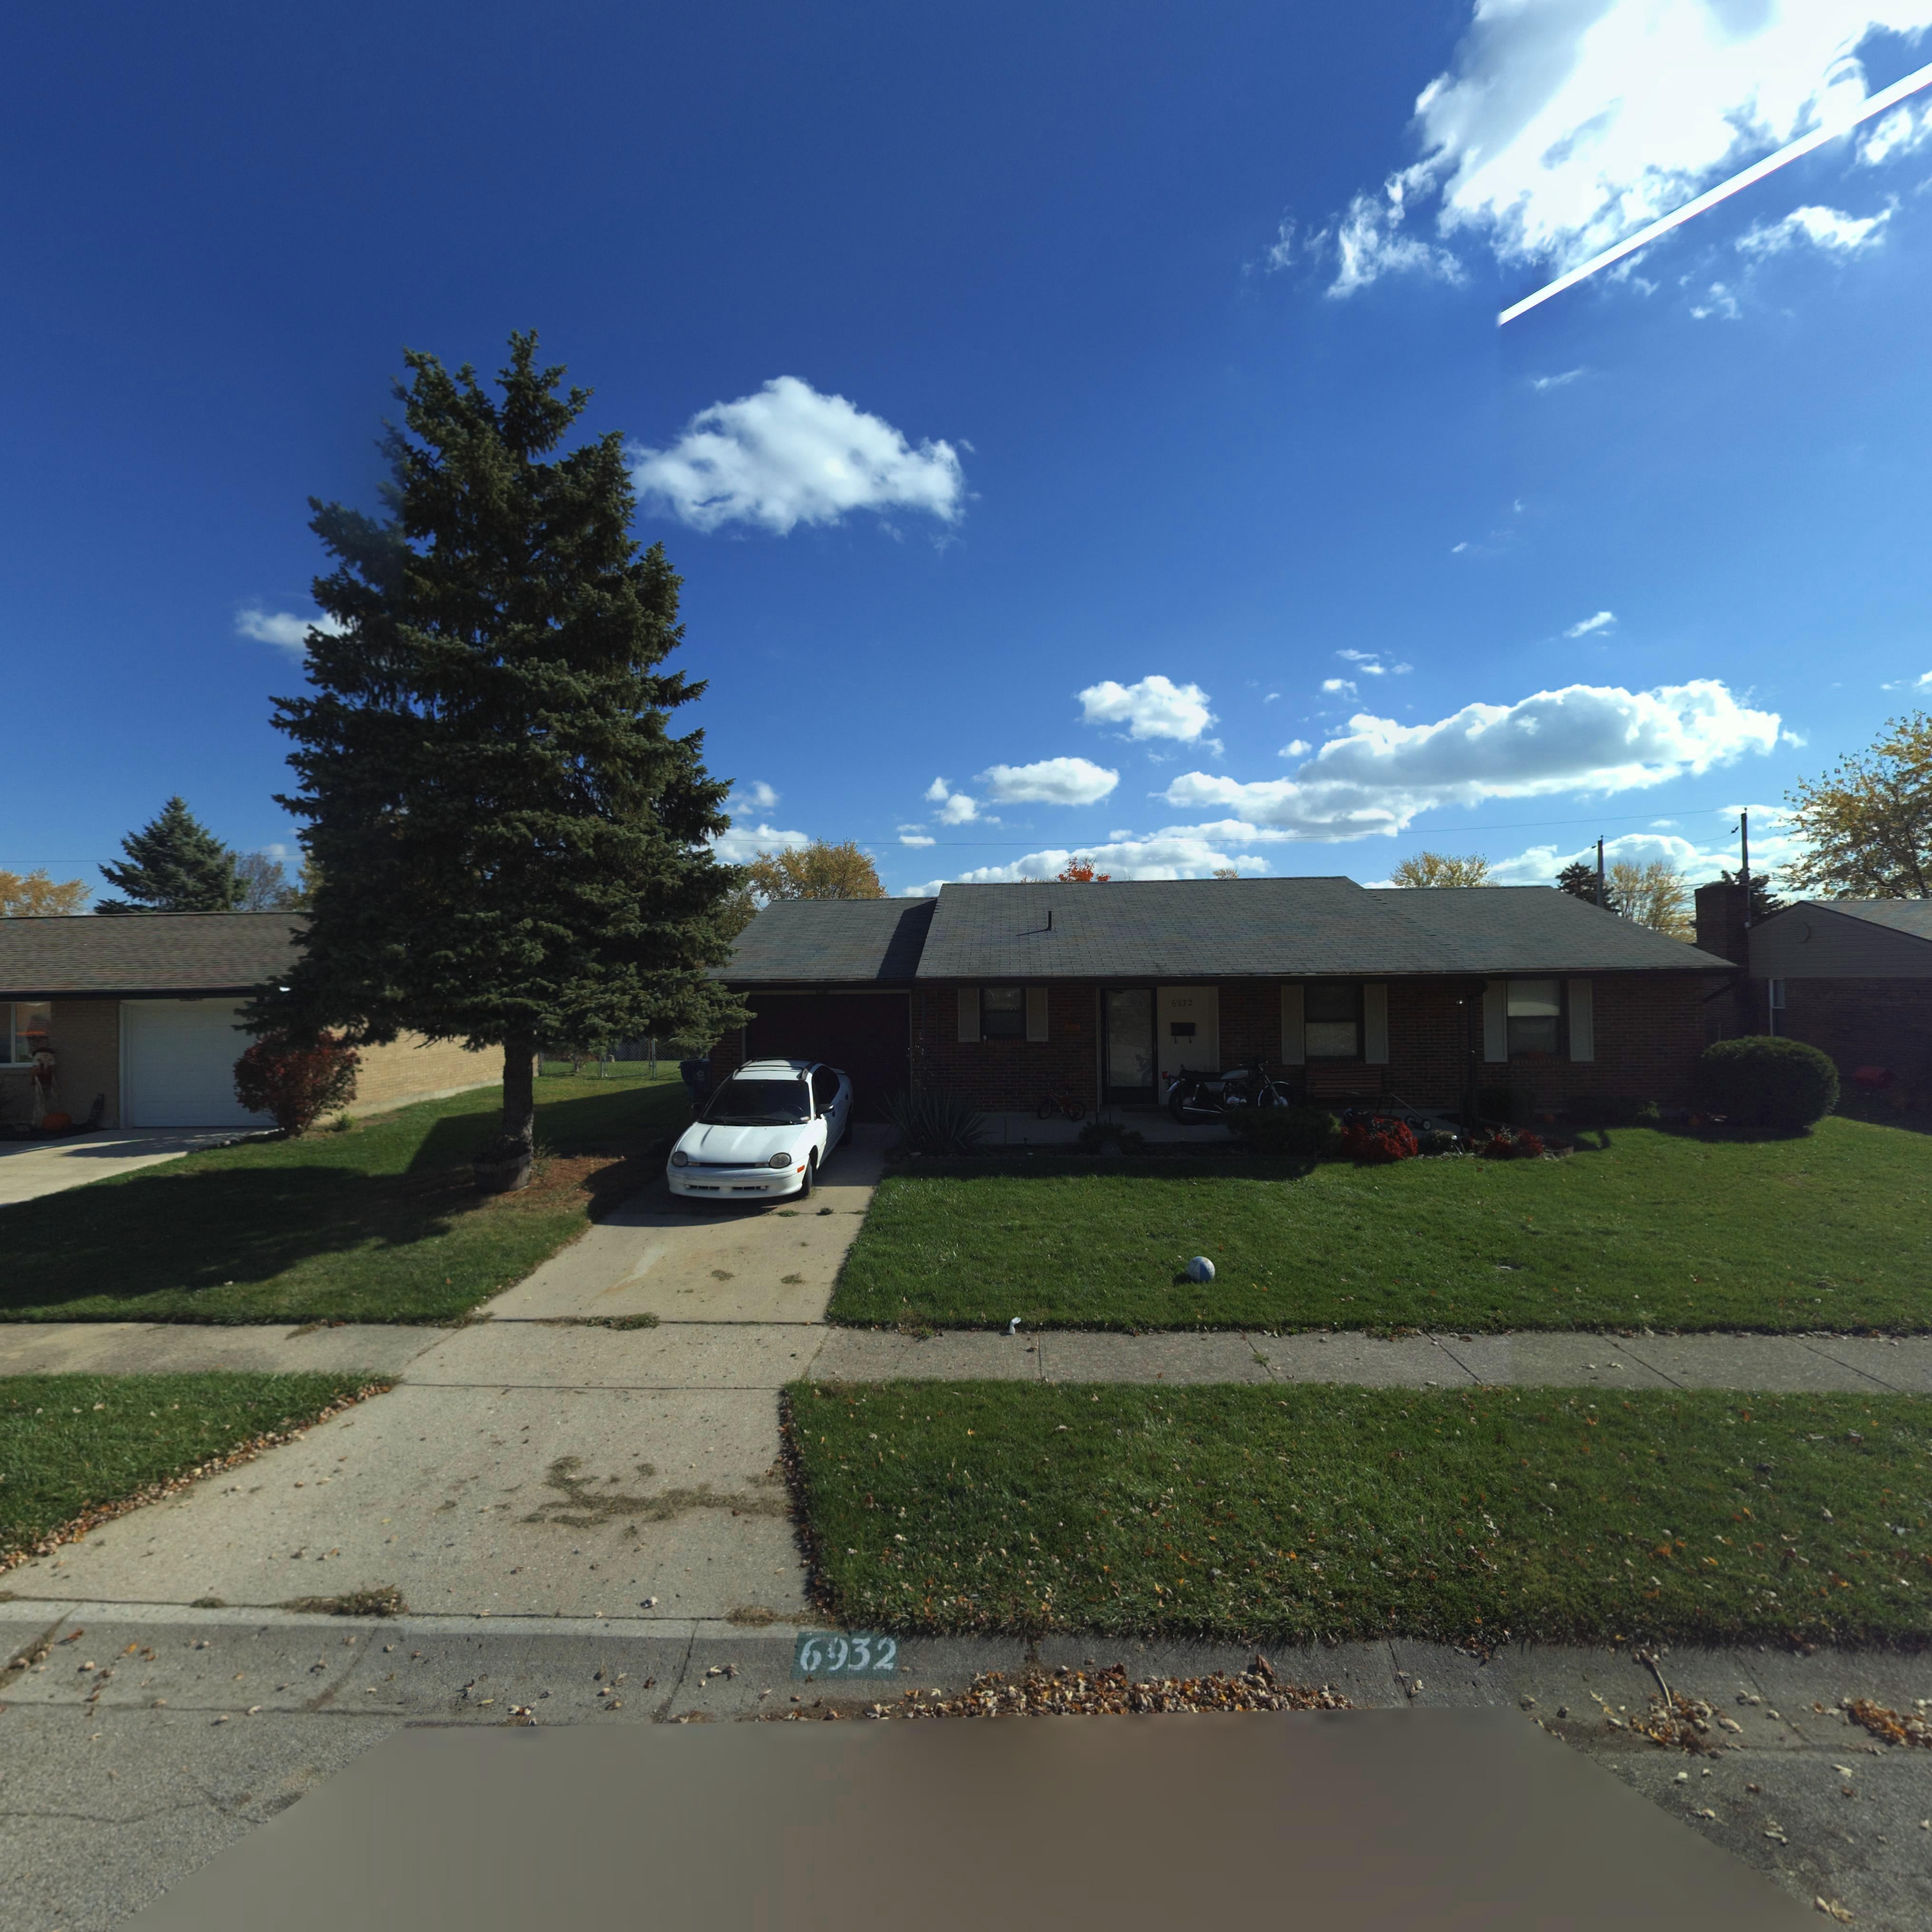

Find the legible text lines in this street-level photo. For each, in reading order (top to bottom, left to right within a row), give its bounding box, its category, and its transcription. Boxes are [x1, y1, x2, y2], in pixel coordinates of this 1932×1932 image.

[1171, 998, 1193, 1008] StreetNumber: 6932
[798, 1634, 898, 1674] StreetNumber: 6932